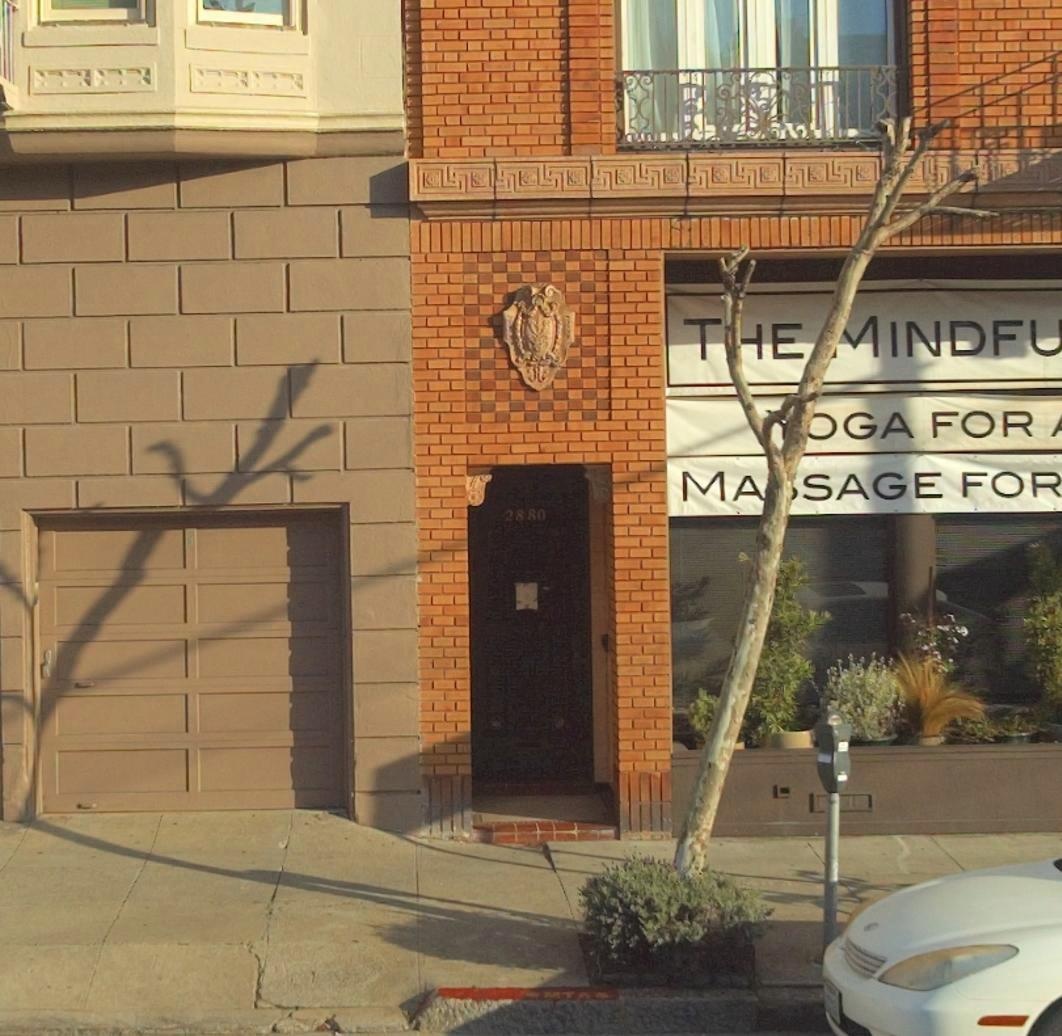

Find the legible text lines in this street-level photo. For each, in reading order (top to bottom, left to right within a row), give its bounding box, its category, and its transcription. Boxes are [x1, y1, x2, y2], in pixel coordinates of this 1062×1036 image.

[679, 312, 1028, 363] BusinessName: T*E MINDF
[759, 407, 1038, 443] None: *OGA FOR
[680, 468, 1062, 504] None: MA*SAGE FOR
[503, 507, 548, 524] StreetNumber: 2880